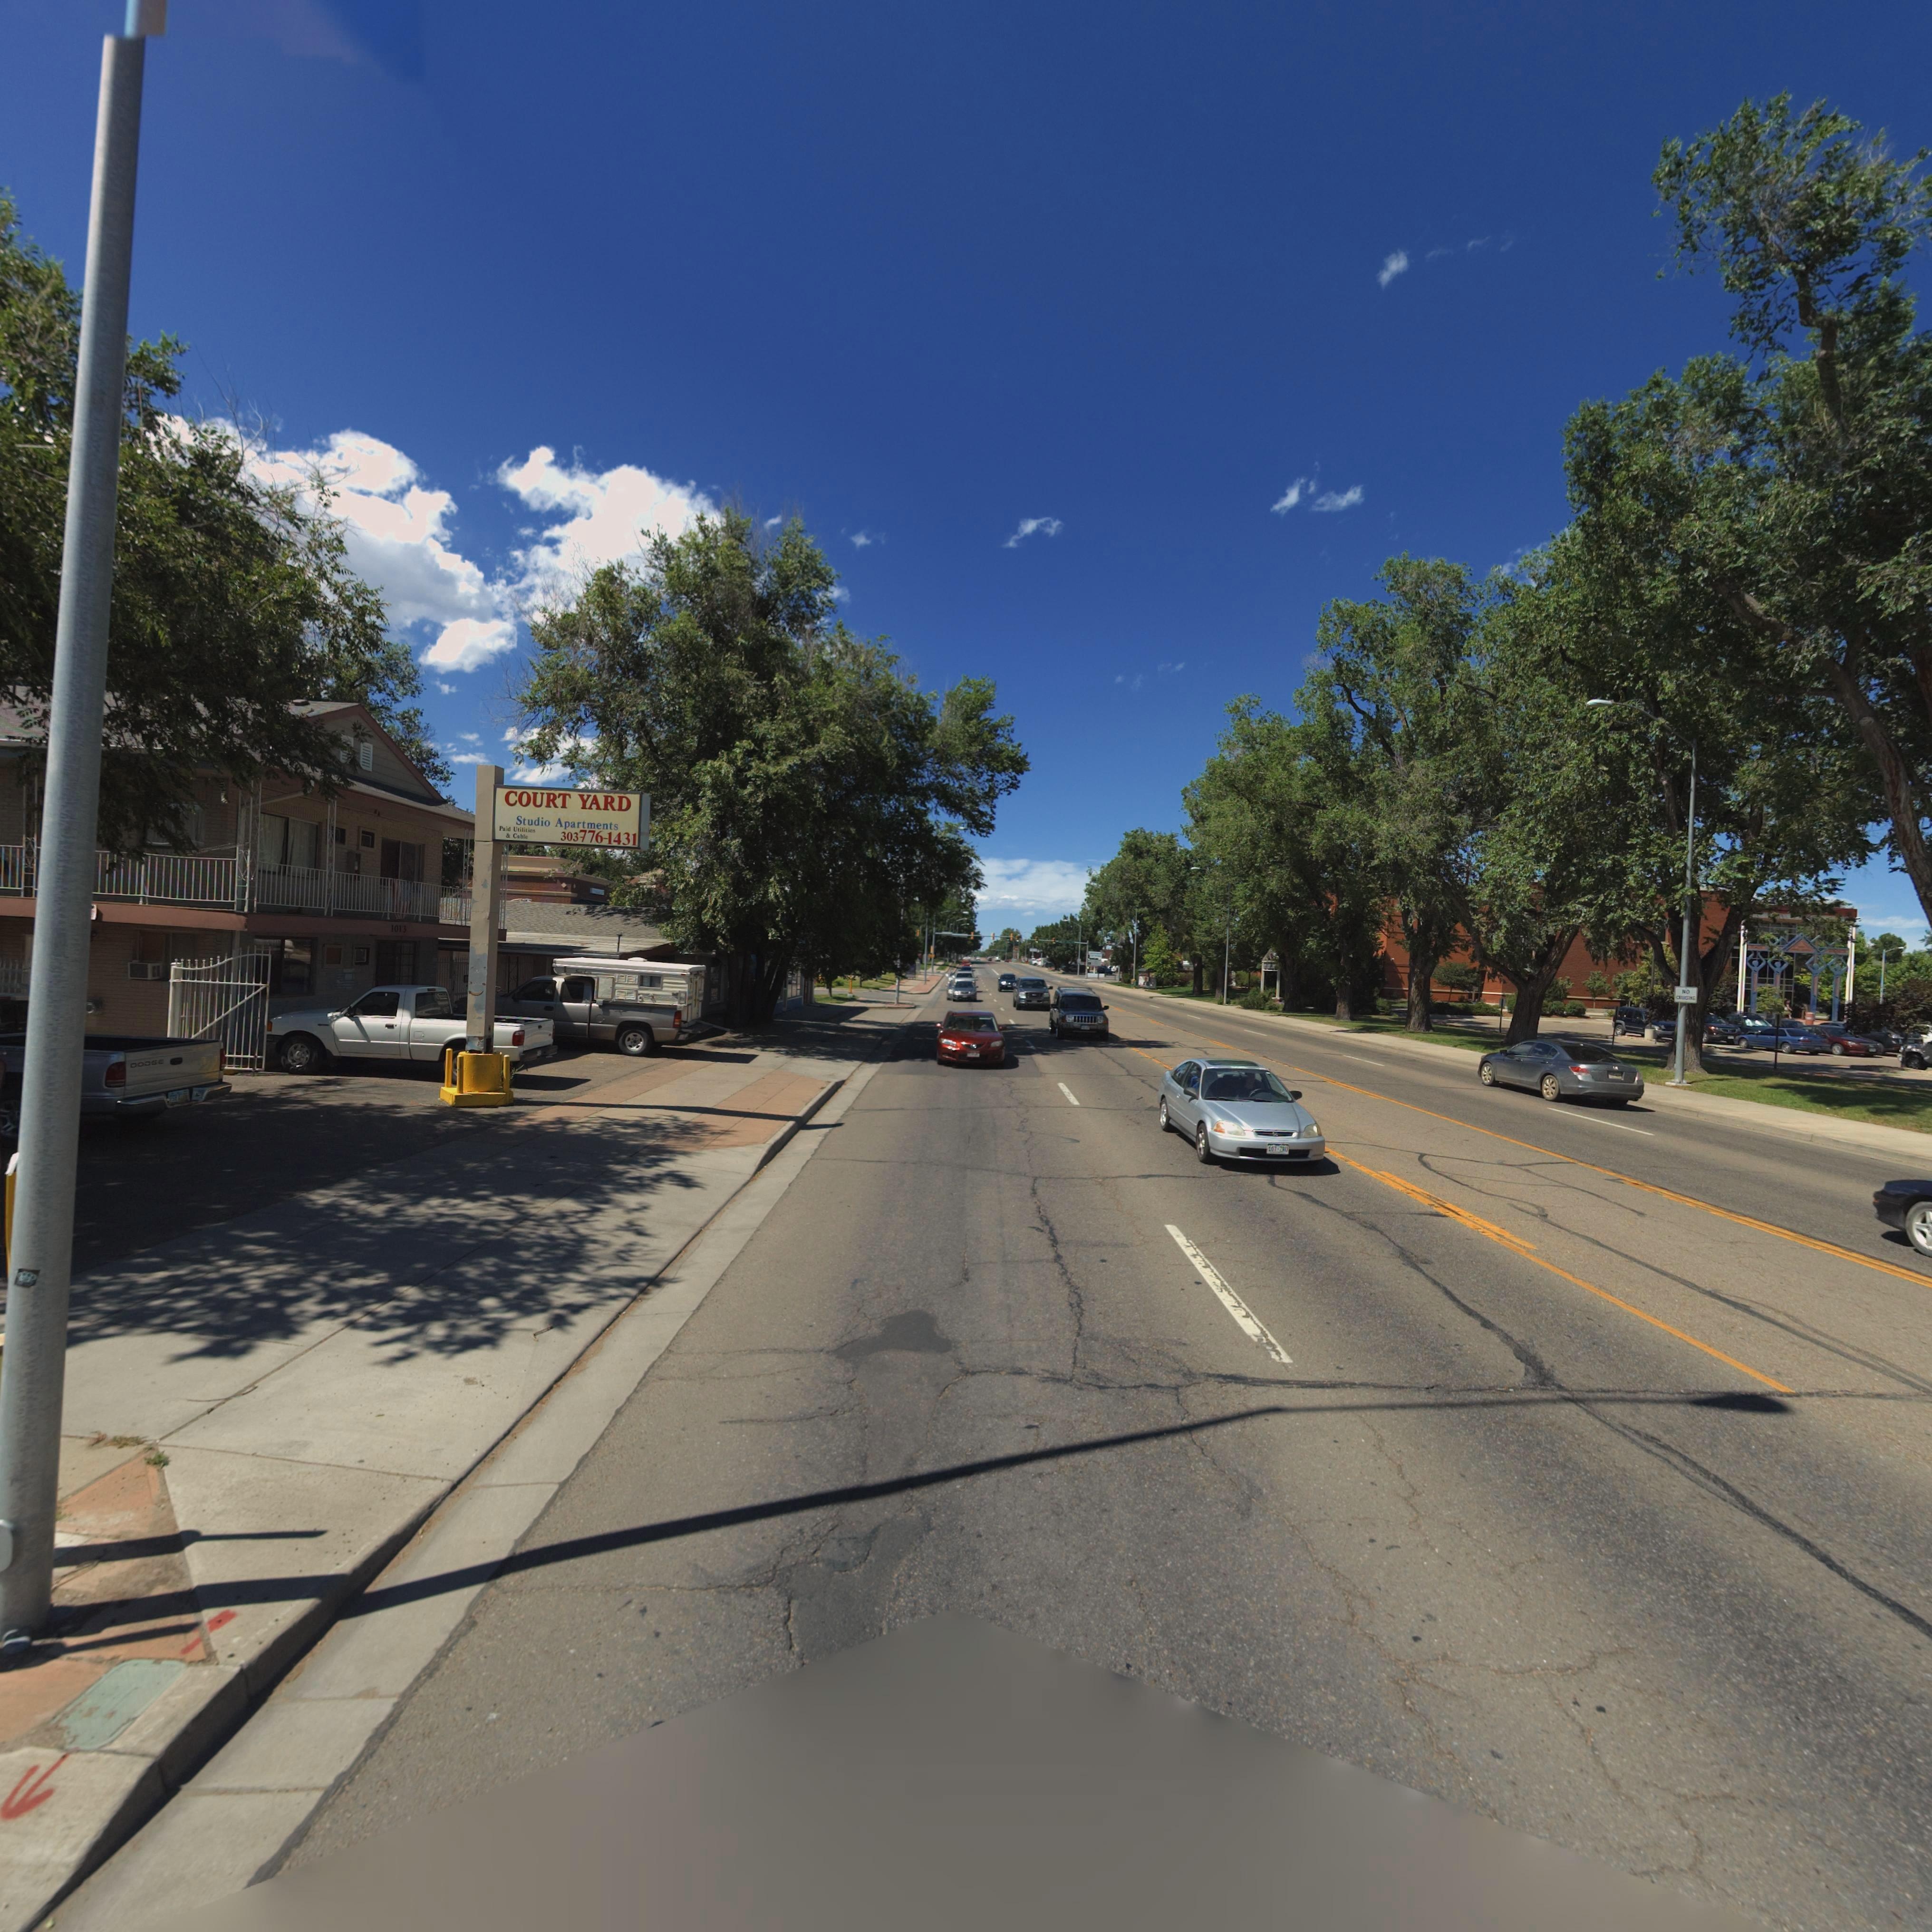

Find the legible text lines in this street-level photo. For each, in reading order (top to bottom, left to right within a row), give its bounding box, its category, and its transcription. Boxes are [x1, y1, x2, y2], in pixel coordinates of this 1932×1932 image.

[504, 790, 631, 811] BusinessName: COURT YARD
[515, 814, 618, 831] BusinessName: Studio Apartments
[391, 924, 406, 933] StreetNumber: 1013